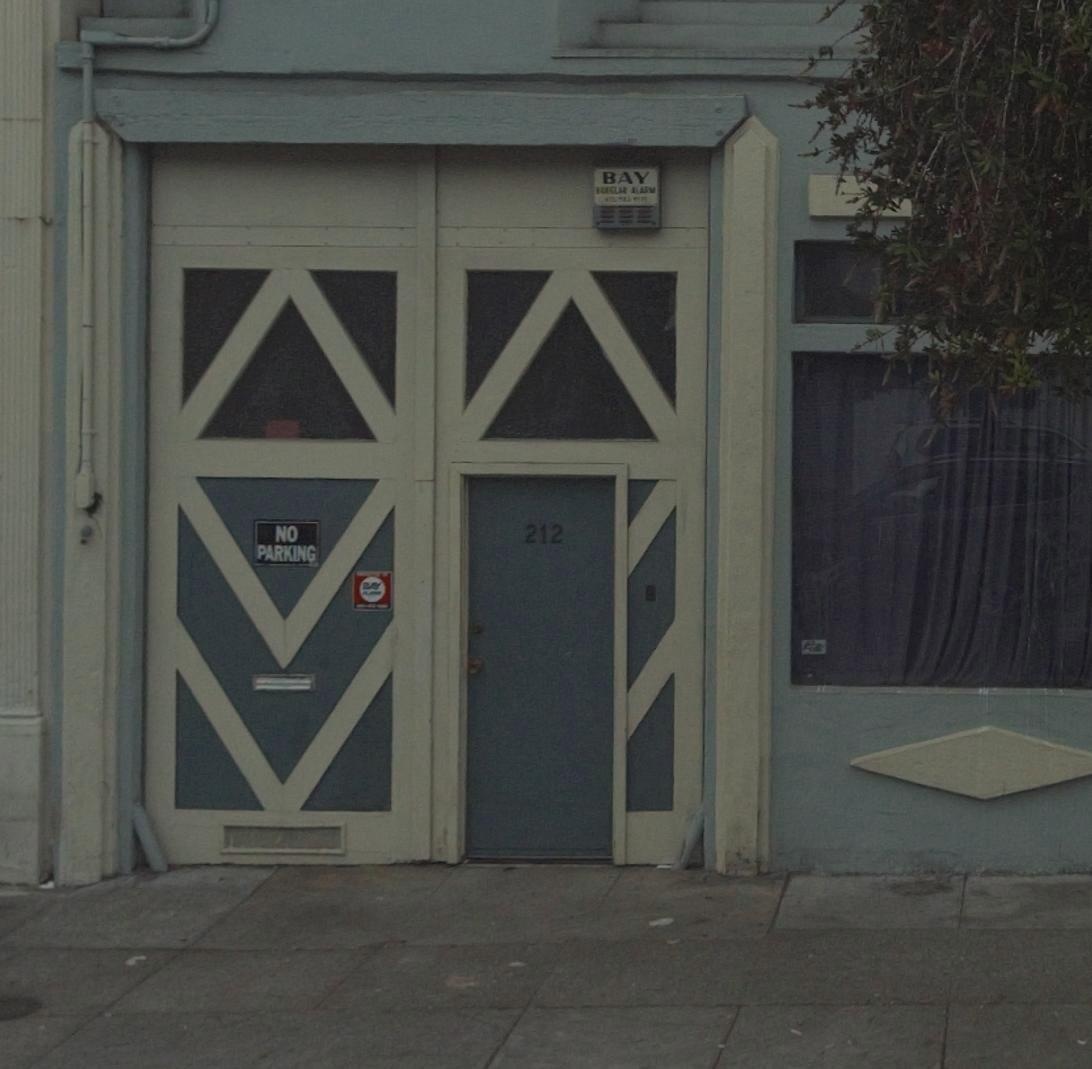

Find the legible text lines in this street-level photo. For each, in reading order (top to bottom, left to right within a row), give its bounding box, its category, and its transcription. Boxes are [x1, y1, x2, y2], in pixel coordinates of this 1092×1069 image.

[601, 169, 651, 186] None: BAY
[273, 523, 301, 545] None: NO
[523, 522, 565, 546] StreetNumber: 212
[255, 542, 318, 564] None: PARKING